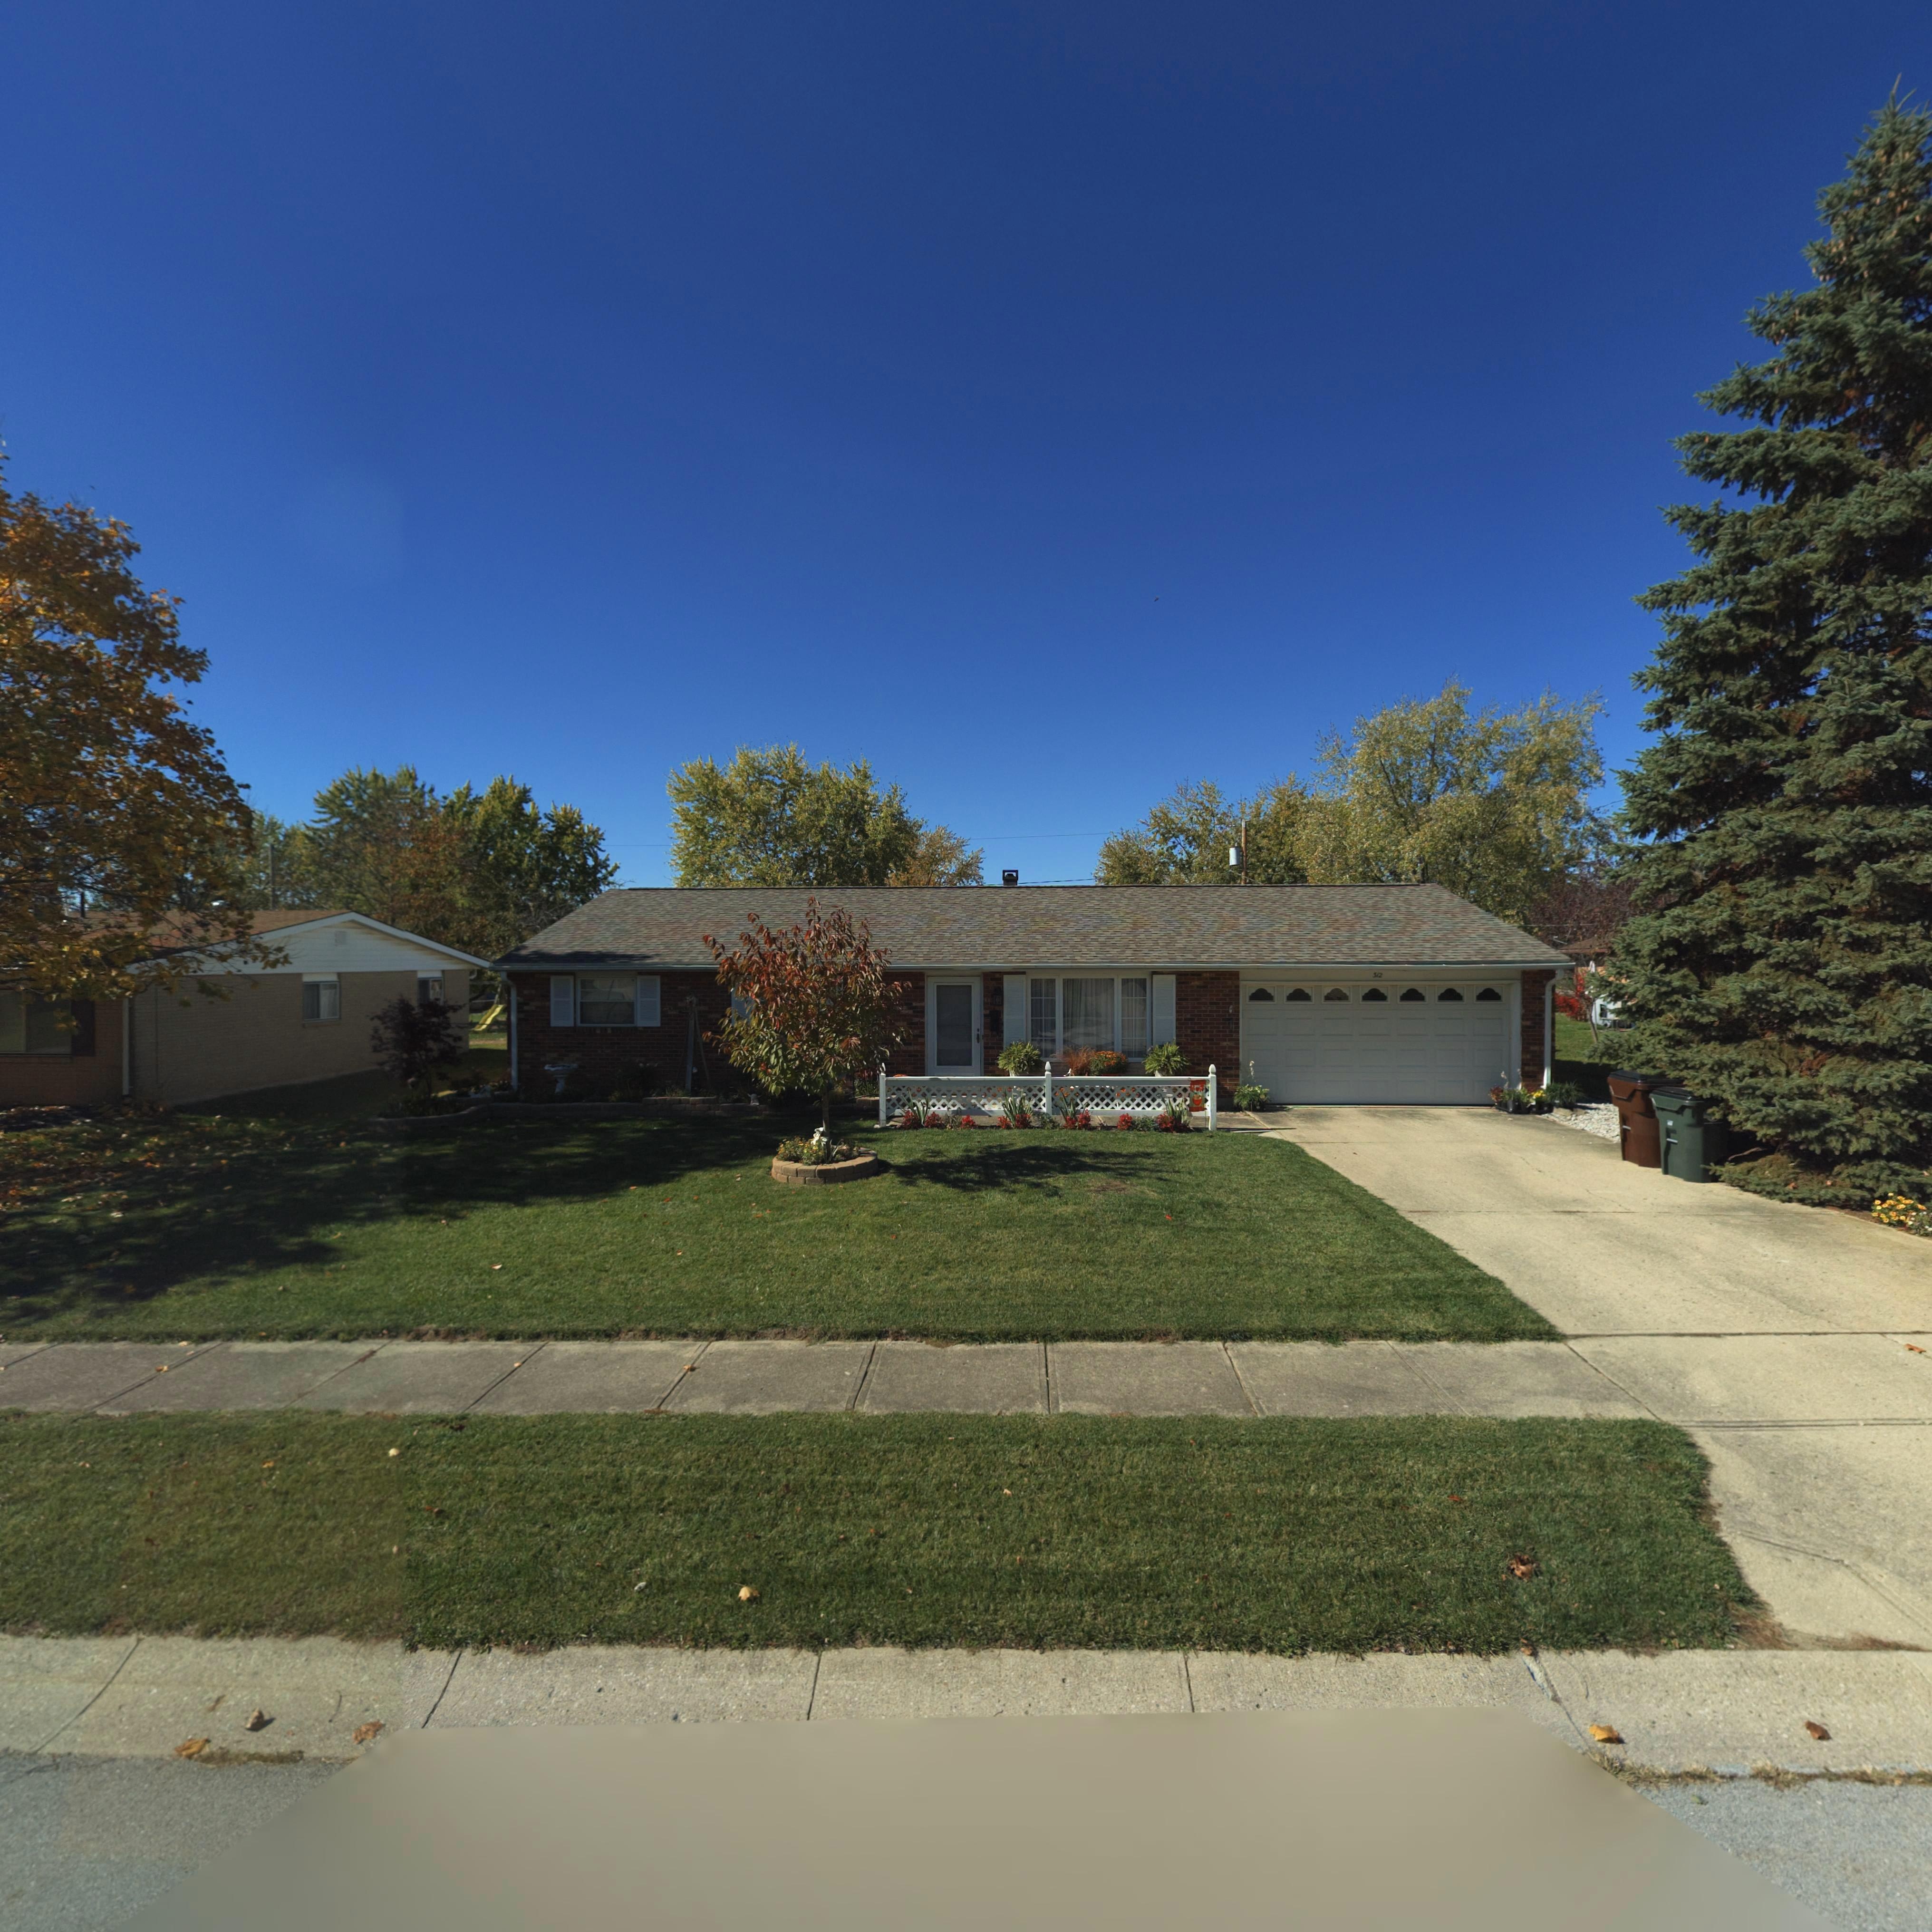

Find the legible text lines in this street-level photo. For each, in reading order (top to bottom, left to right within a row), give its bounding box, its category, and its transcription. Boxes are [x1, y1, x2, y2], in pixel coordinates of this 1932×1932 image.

[1372, 972, 1383, 978] StreetNumber: 312